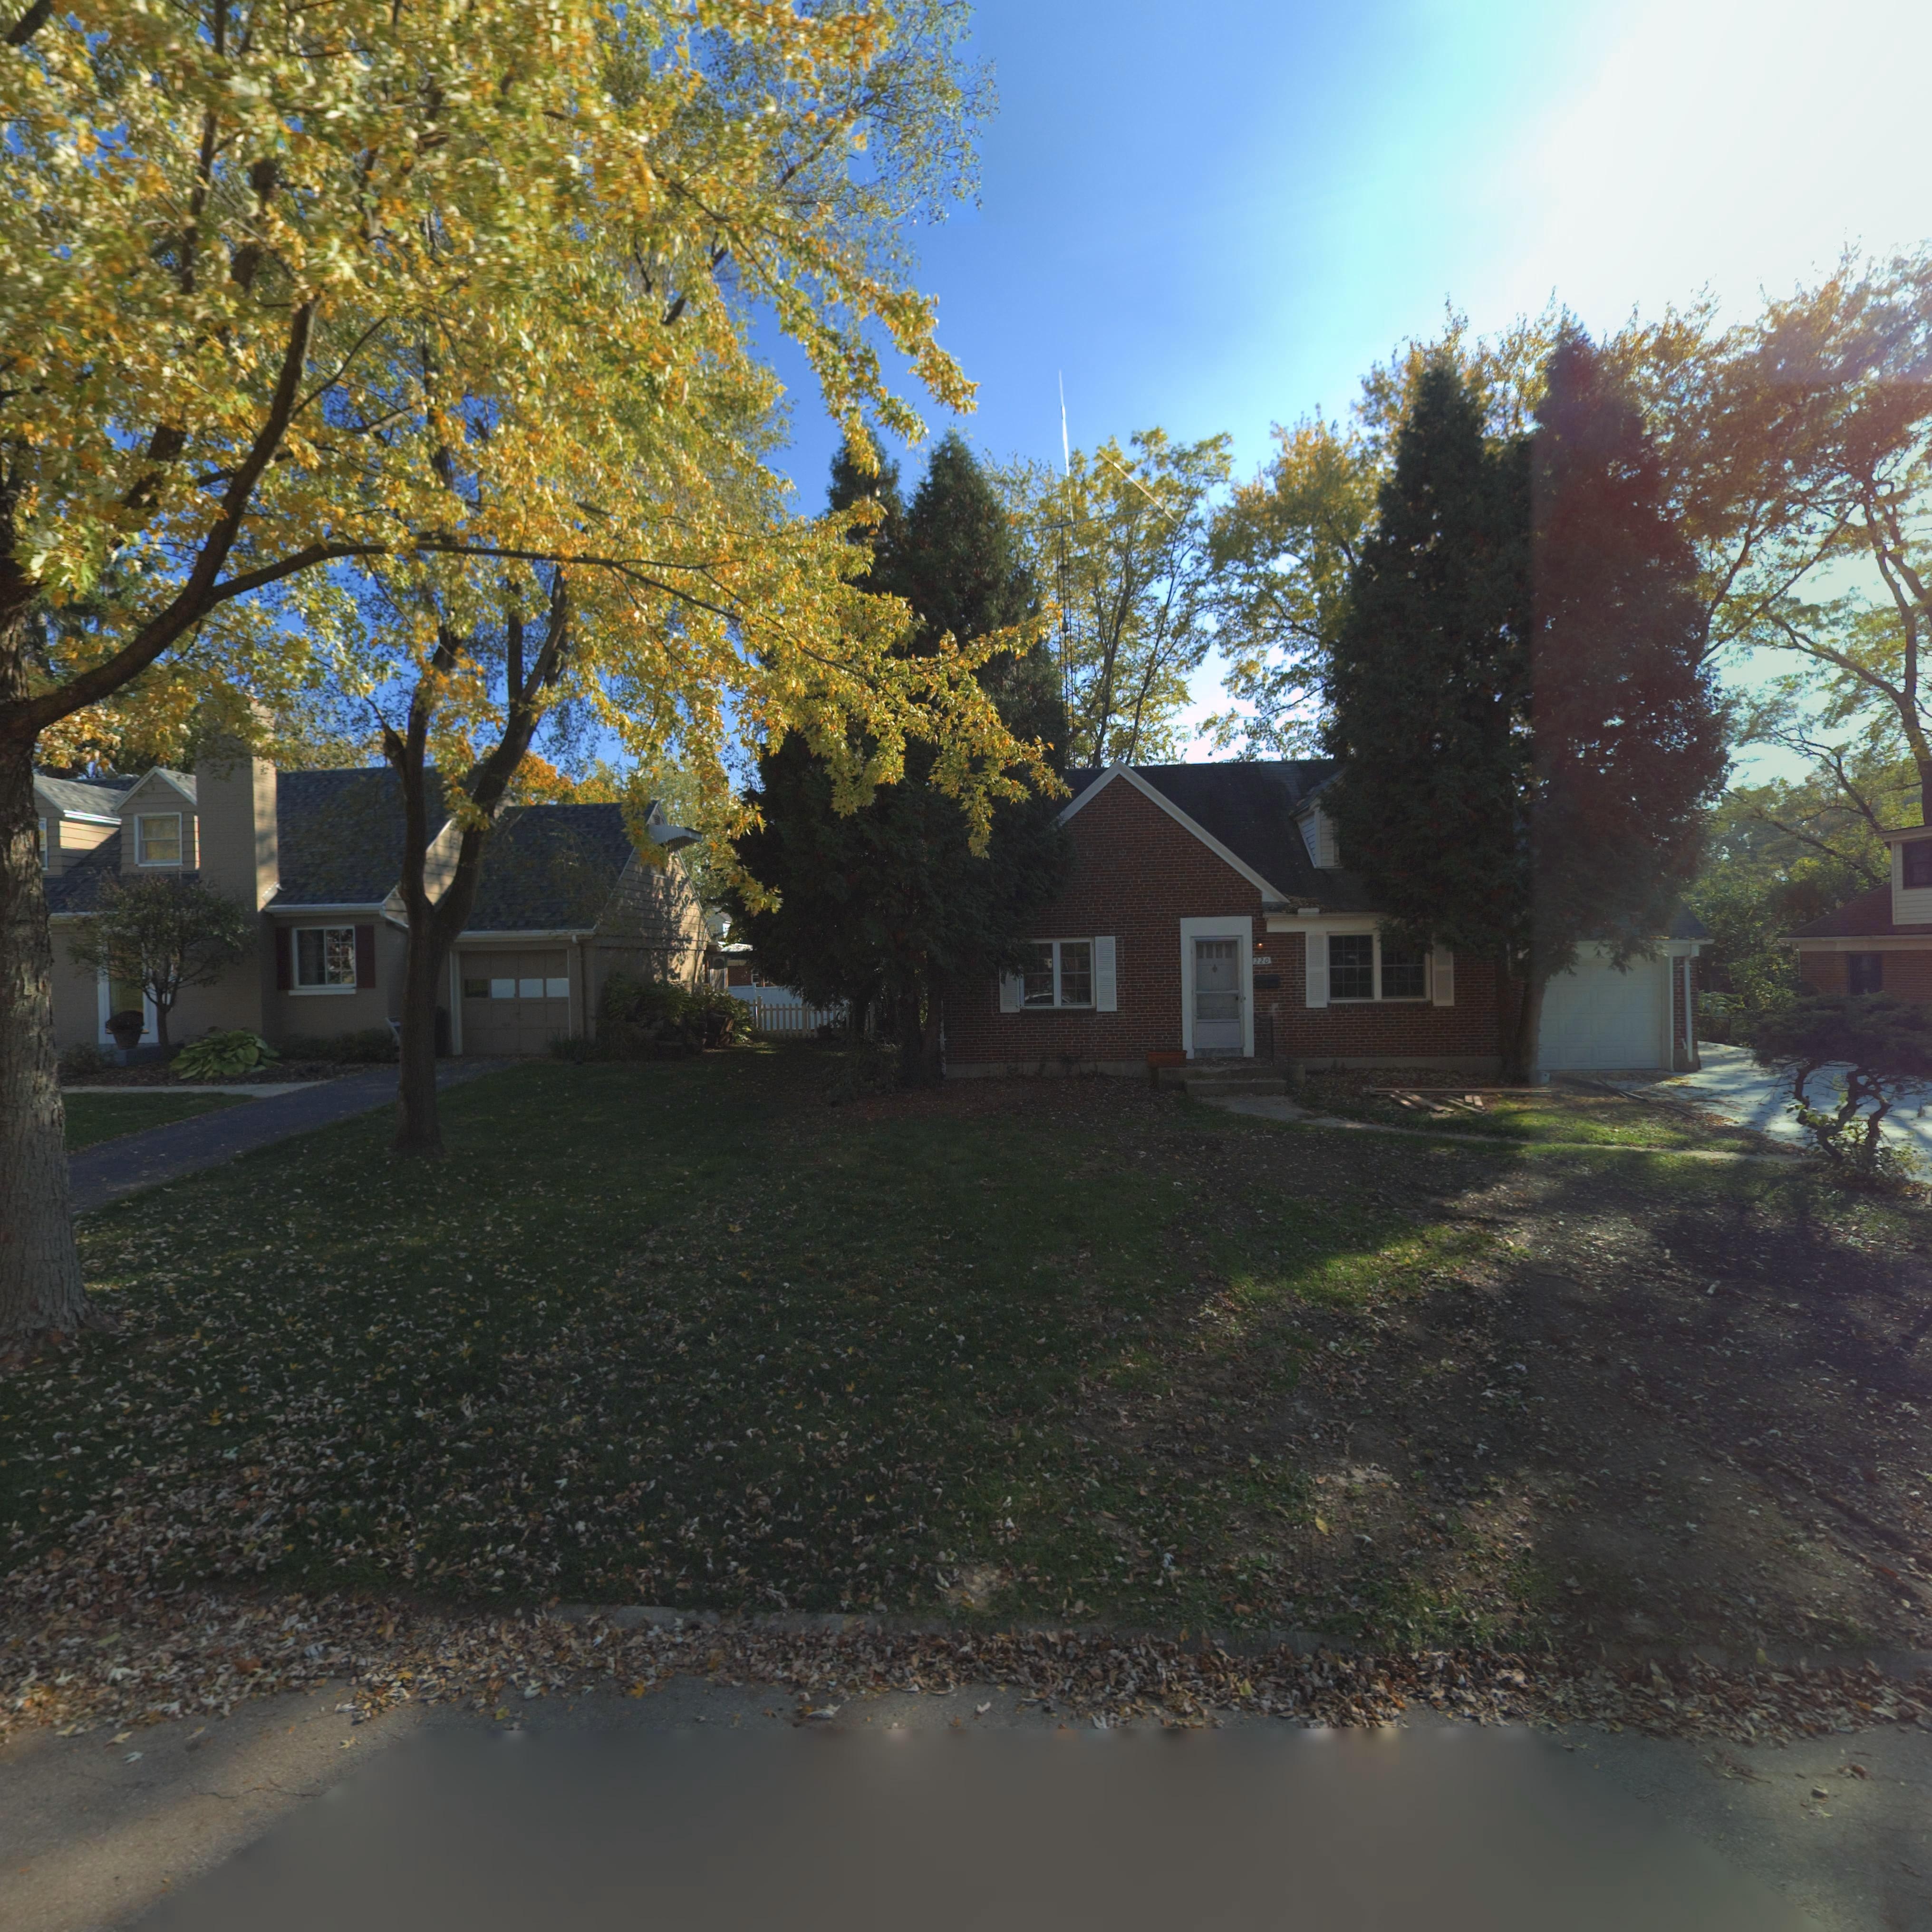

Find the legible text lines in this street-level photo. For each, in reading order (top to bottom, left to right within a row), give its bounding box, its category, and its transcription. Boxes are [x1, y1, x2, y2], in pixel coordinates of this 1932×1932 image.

[1254, 957, 1269, 964] StreetNumber: 220